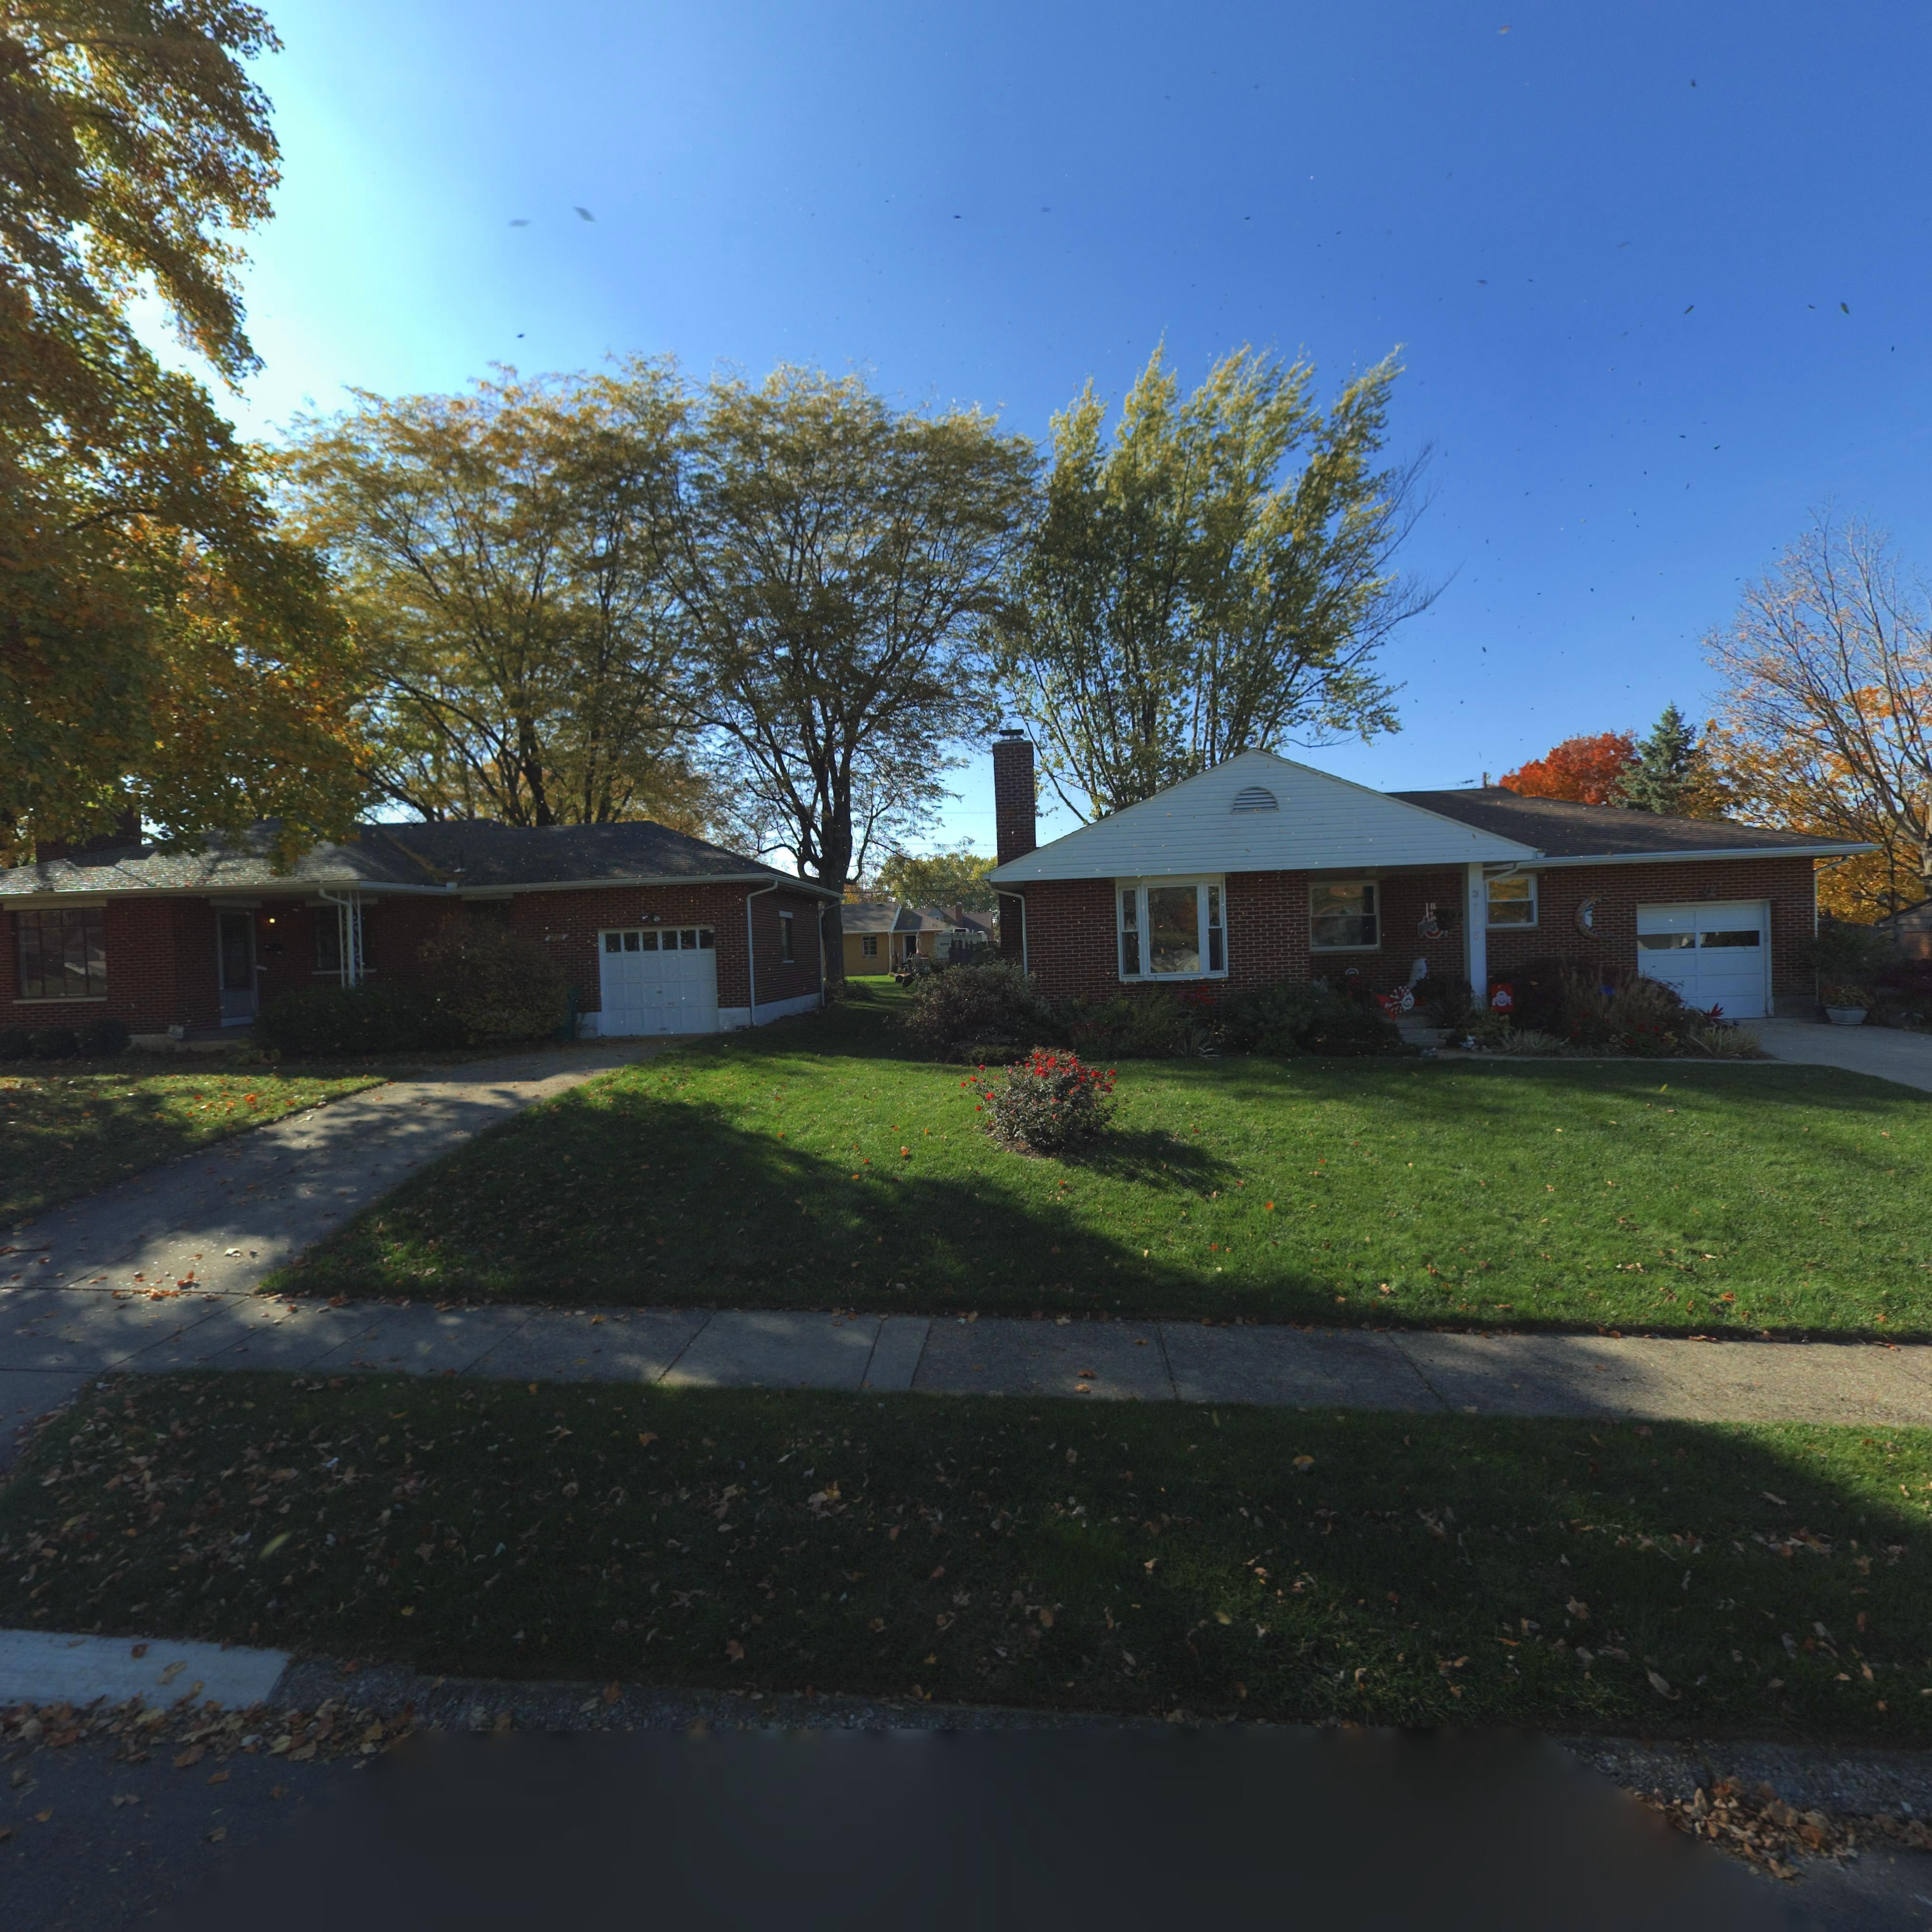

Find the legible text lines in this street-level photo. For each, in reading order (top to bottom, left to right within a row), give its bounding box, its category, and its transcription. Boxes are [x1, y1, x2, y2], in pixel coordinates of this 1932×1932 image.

[1471, 888, 1482, 942] StreetNumber: 372*